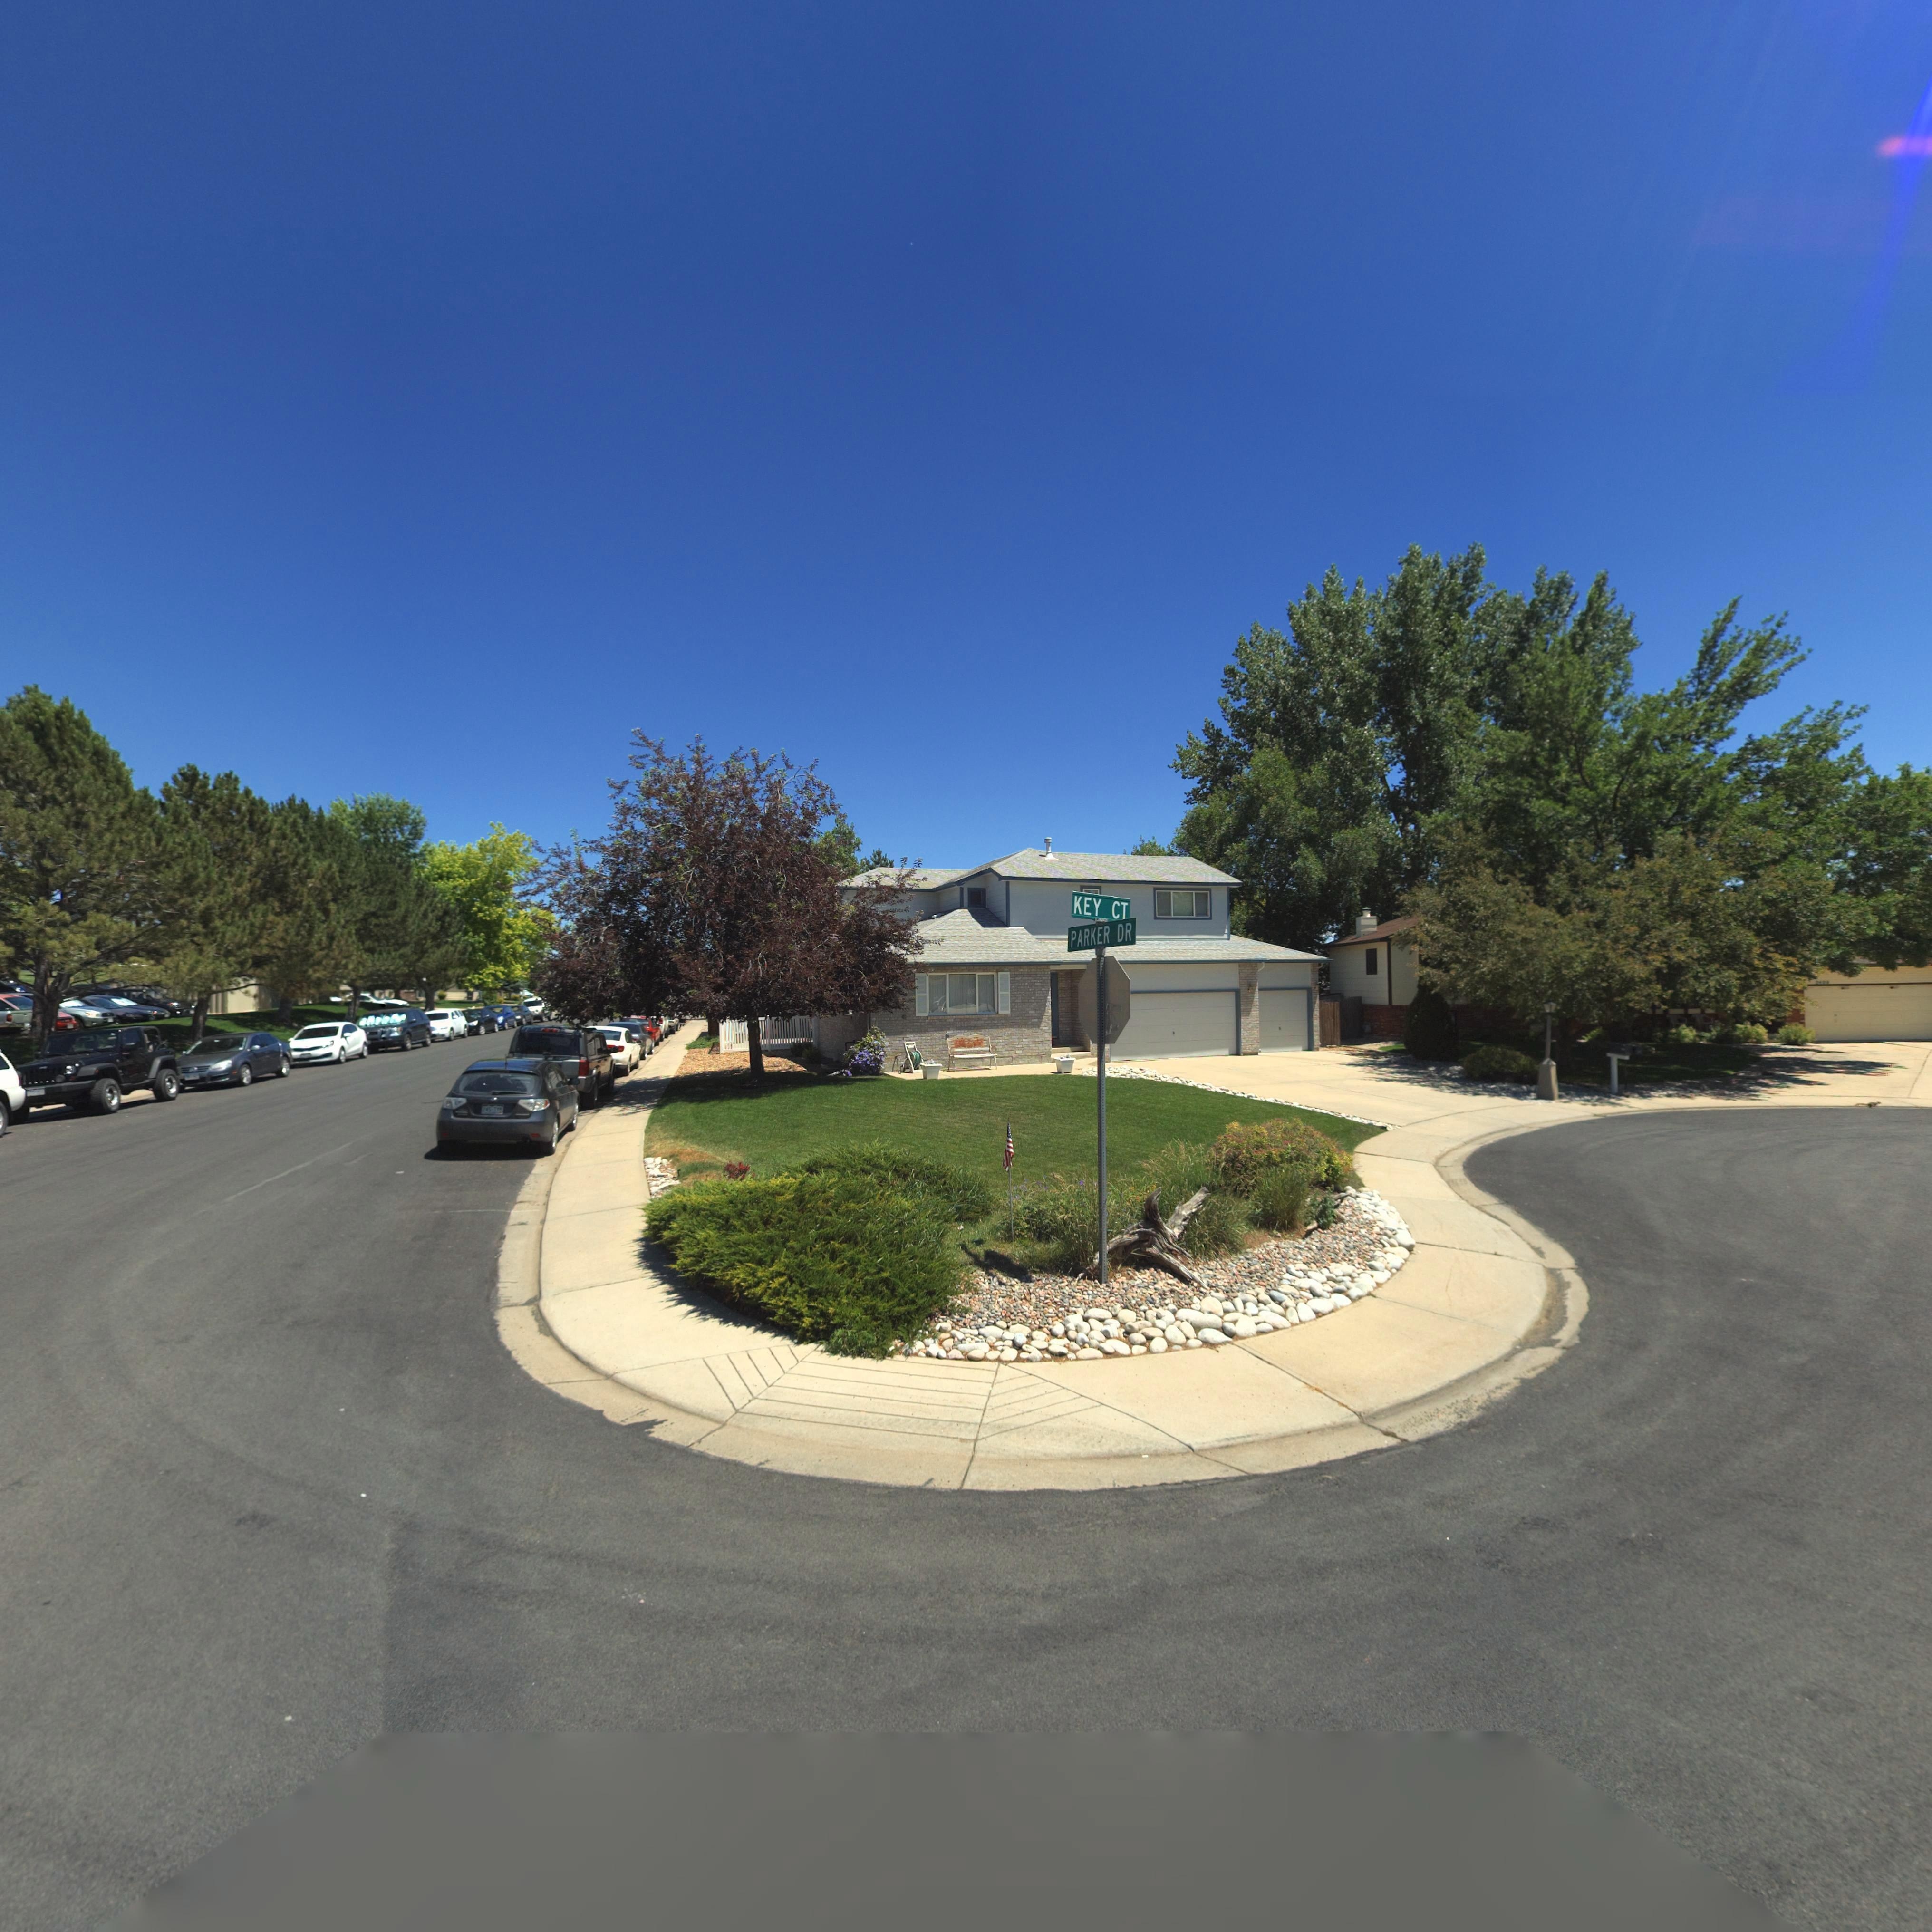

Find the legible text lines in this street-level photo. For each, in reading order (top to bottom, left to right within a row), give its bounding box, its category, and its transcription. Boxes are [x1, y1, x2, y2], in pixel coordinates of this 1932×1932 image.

[1073, 896, 1128, 919] StreetName: KEY CT
[1070, 921, 1132, 948] StreetName: PARKER DR
[1815, 979, 1830, 985] BusinessName: 2***